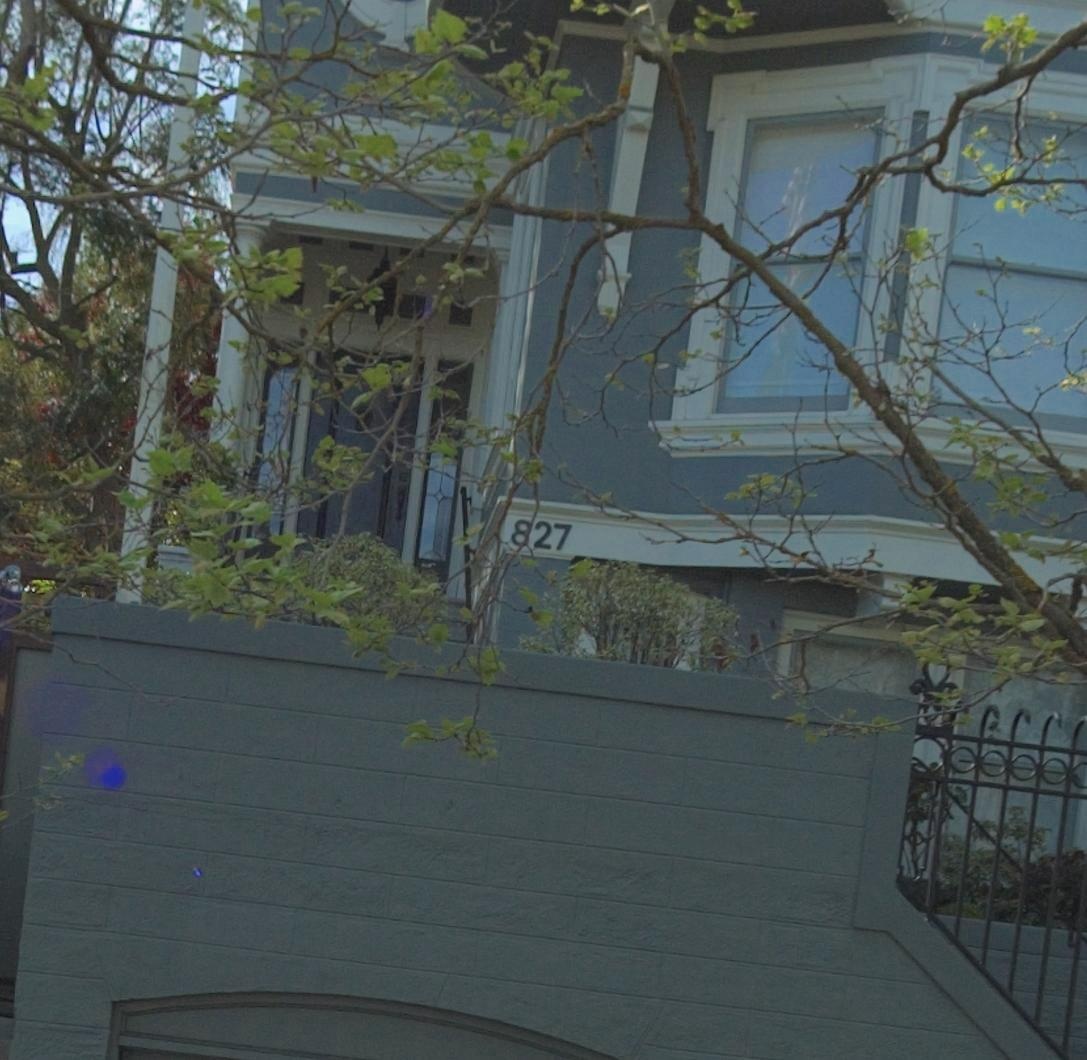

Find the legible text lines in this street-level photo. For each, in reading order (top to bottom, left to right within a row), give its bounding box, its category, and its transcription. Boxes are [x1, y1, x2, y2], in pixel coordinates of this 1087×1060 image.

[510, 517, 574, 552] StreetNumber: *27